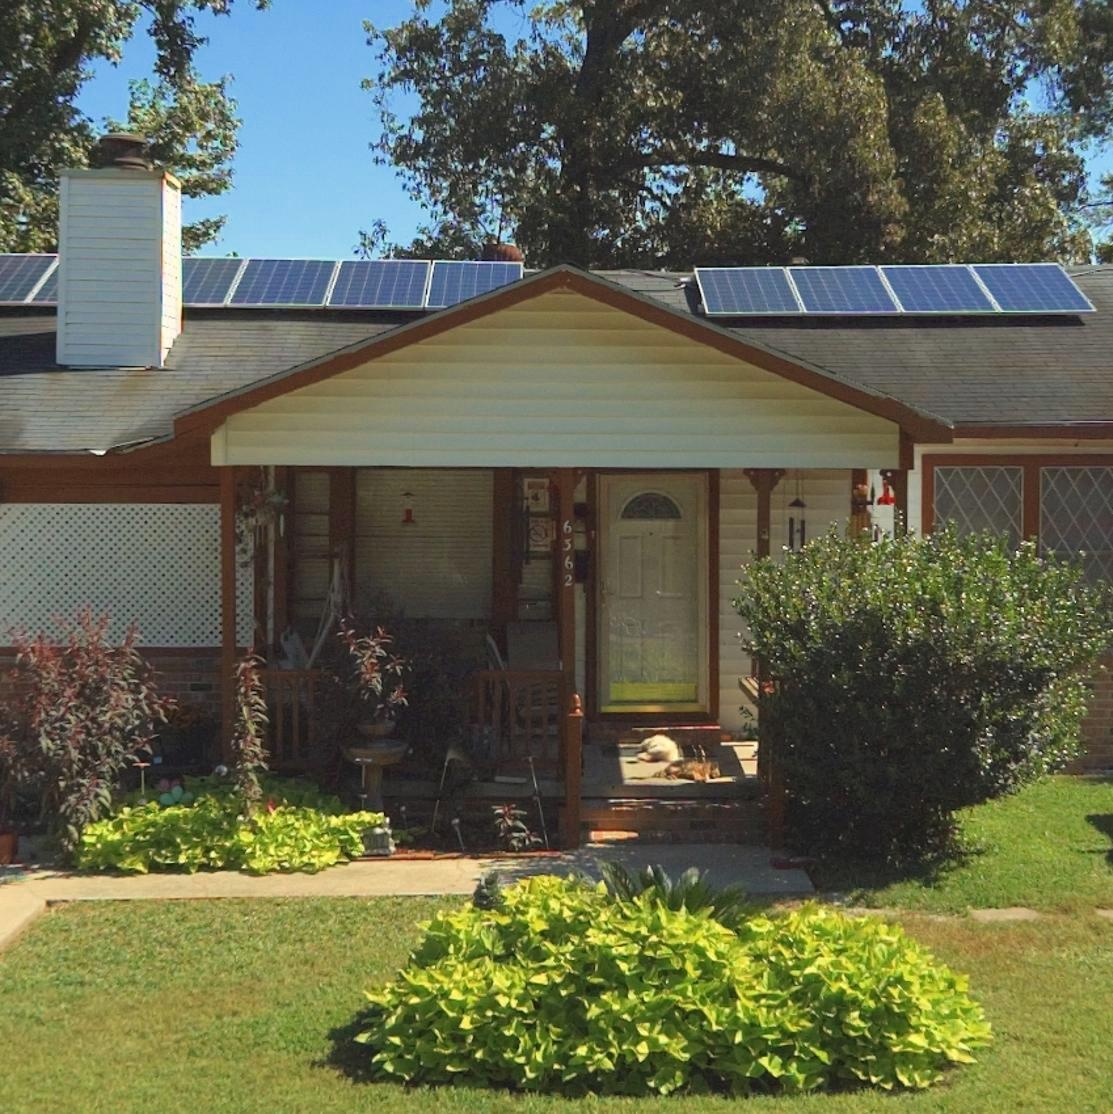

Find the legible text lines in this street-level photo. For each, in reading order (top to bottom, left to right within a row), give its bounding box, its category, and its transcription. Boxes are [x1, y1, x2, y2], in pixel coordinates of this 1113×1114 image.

[561, 519, 575, 587] StreetNumber: 6362